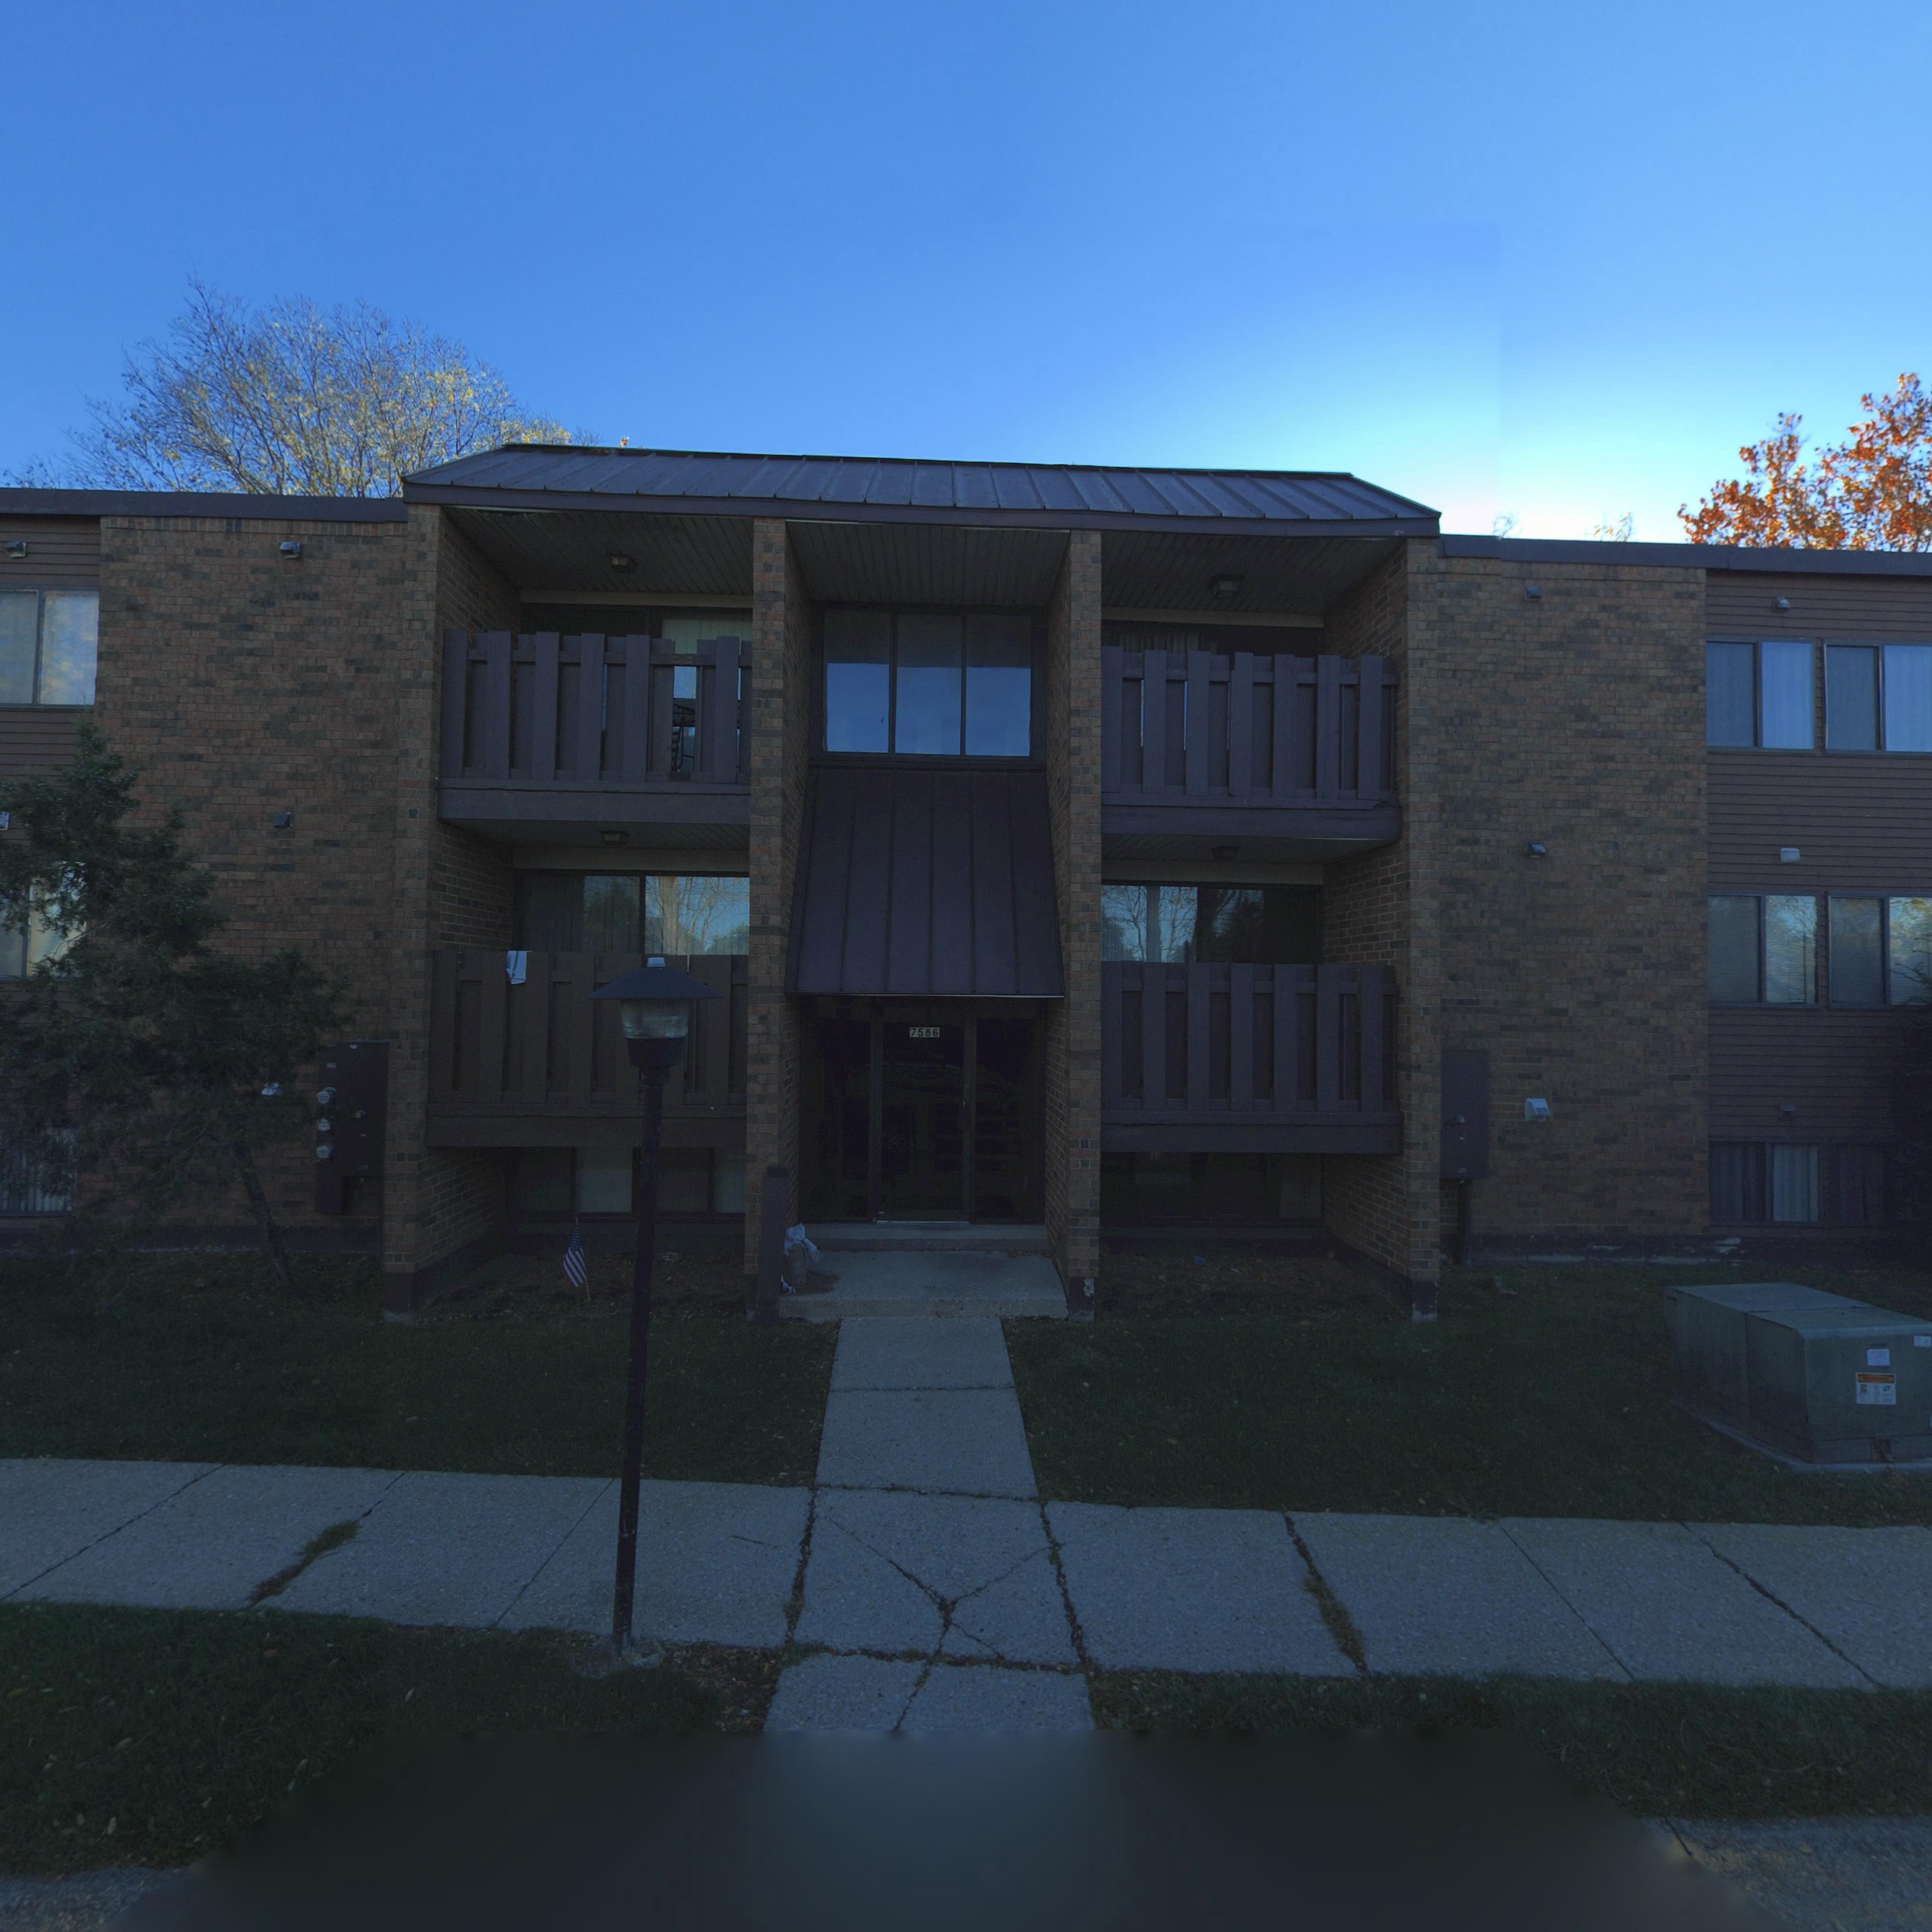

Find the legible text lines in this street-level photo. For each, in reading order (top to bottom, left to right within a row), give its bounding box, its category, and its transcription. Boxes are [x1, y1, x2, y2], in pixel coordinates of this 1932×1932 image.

[910, 1027, 939, 1037] StreetNumber: 7586